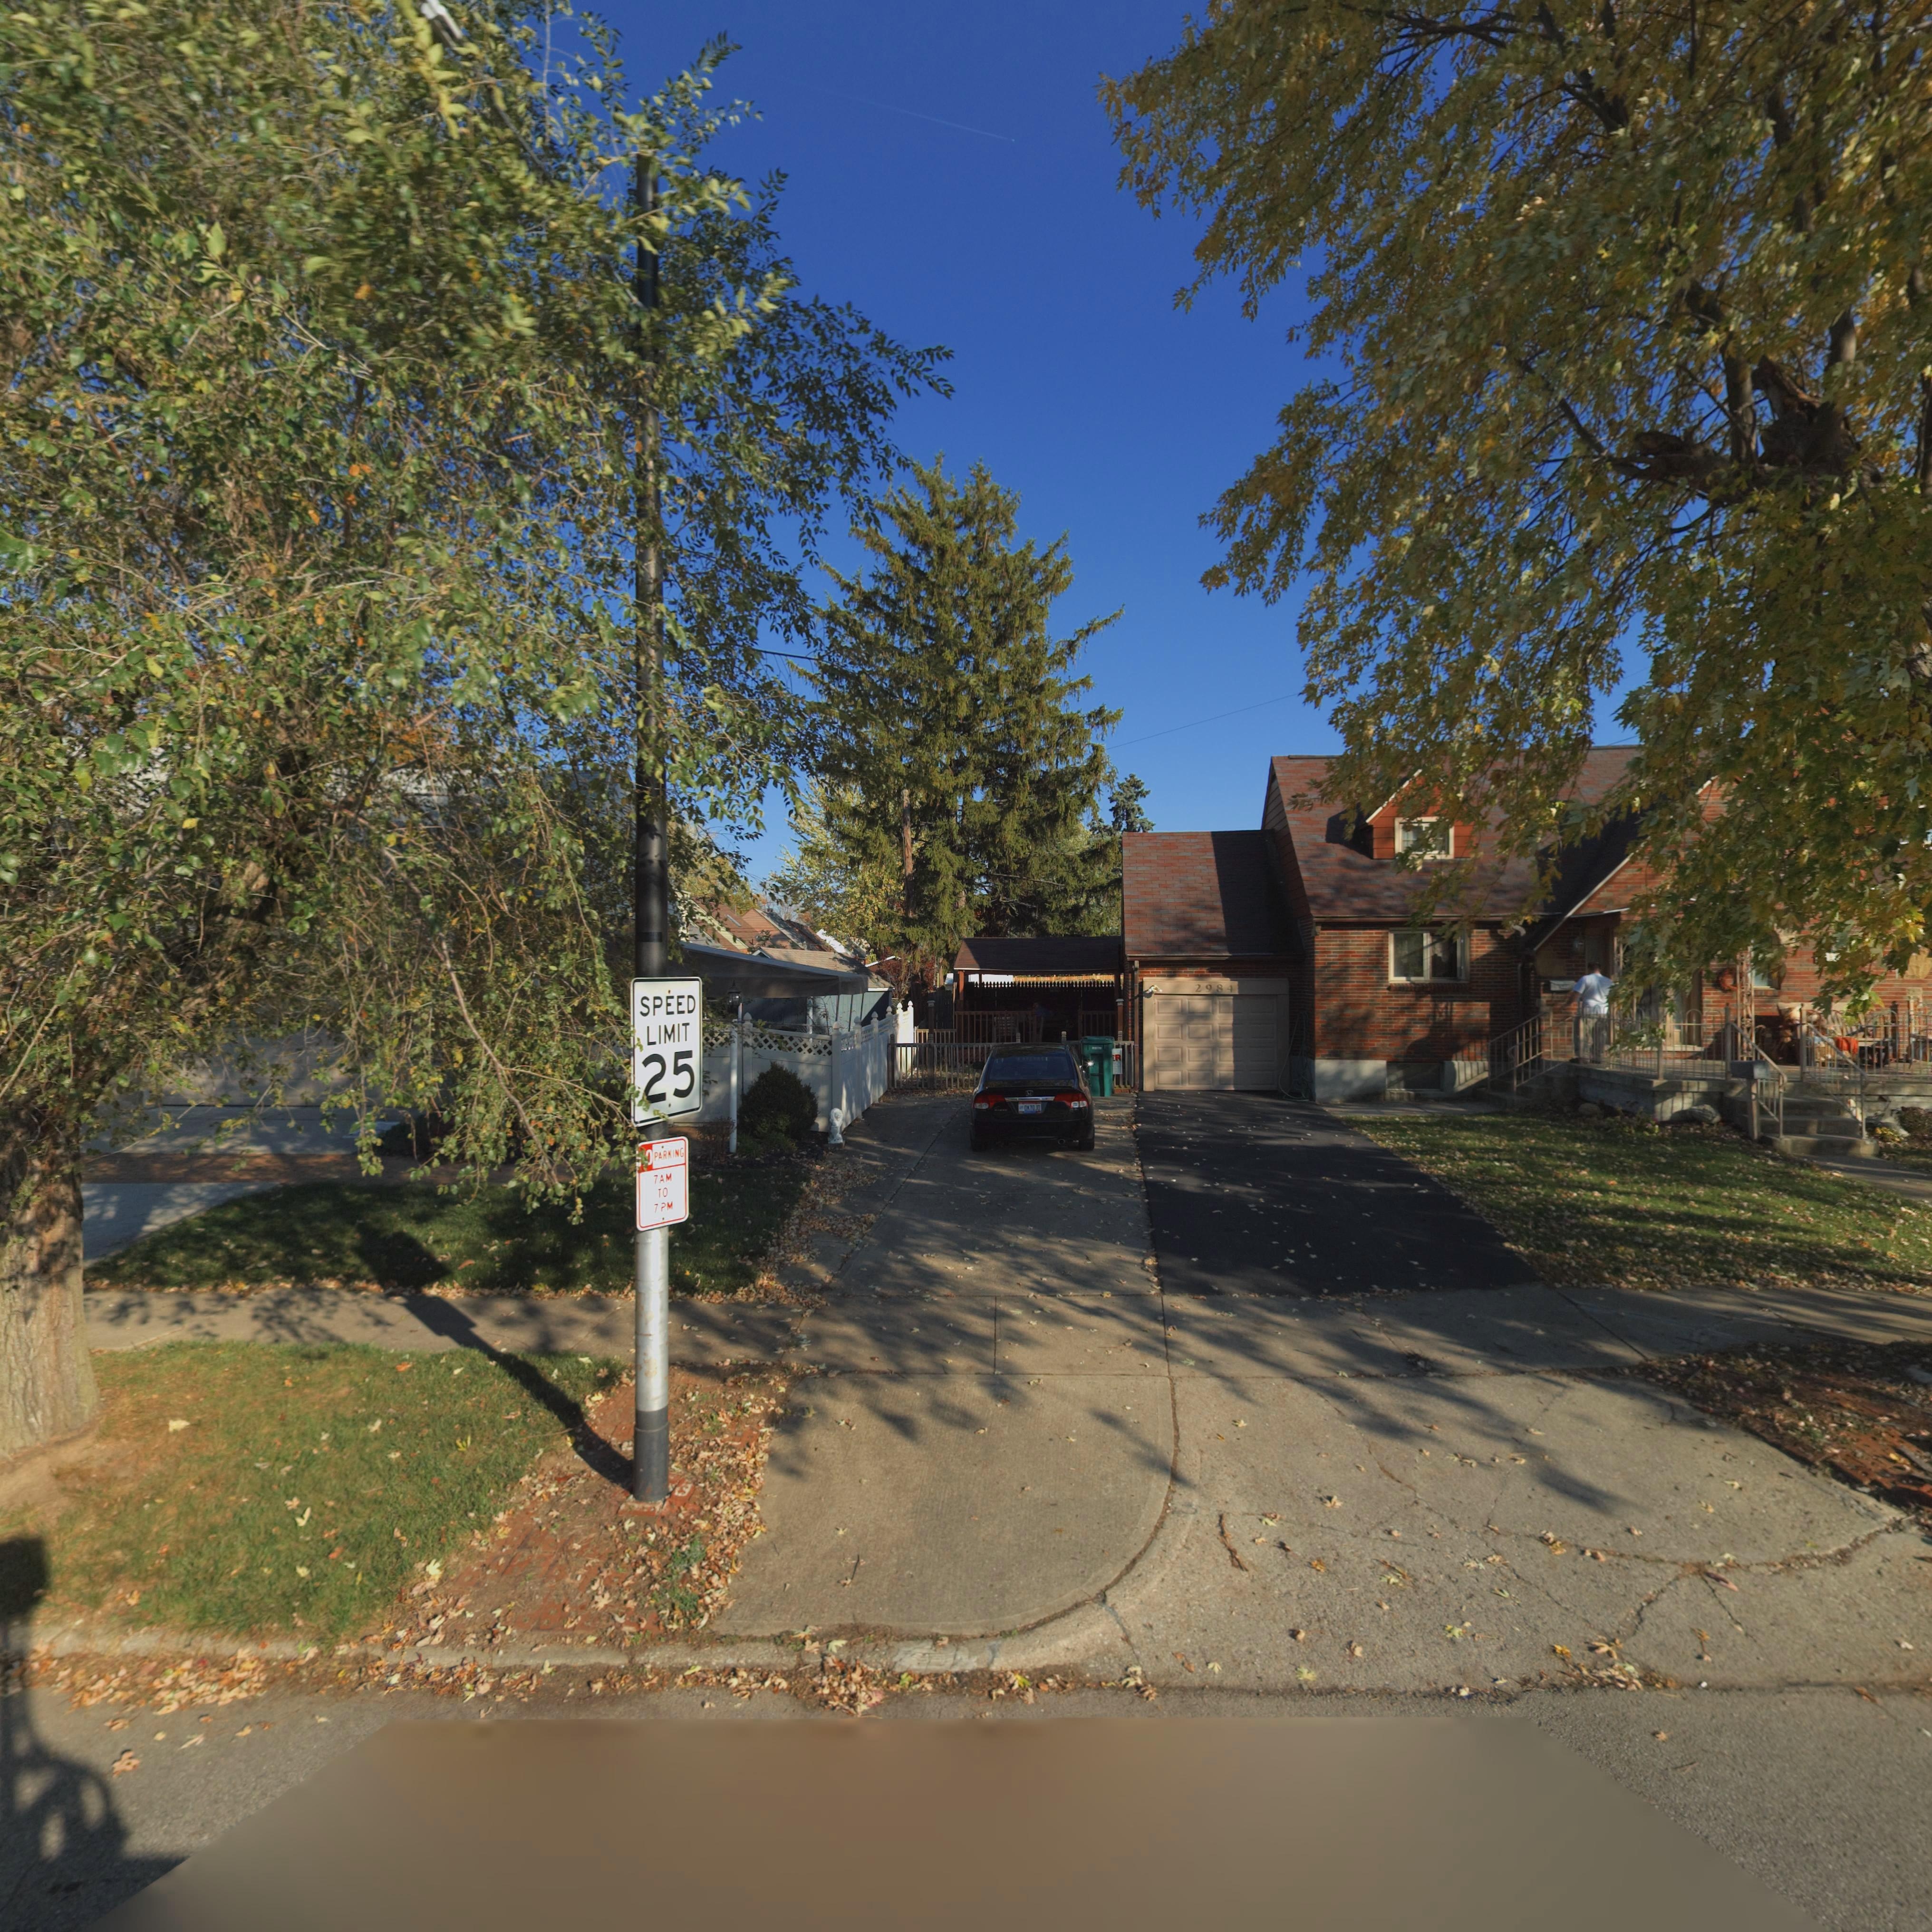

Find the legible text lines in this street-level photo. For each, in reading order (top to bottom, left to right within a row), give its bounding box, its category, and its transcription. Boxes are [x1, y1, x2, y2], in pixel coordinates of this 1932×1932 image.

[1193, 983, 1236, 995] StreetNumber: 2984
[638, 993, 697, 1019] None: SPEED
[645, 1021, 691, 1047] None: LIMIT
[1114, 1053, 1122, 1062] None: R
[640, 1048, 697, 1106] None: 25
[653, 1146, 686, 1164] None: PARKING
[653, 1171, 673, 1186] None: 7 AM
[657, 1186, 669, 1199] None: TO
[653, 1199, 675, 1214] None: 7 PM